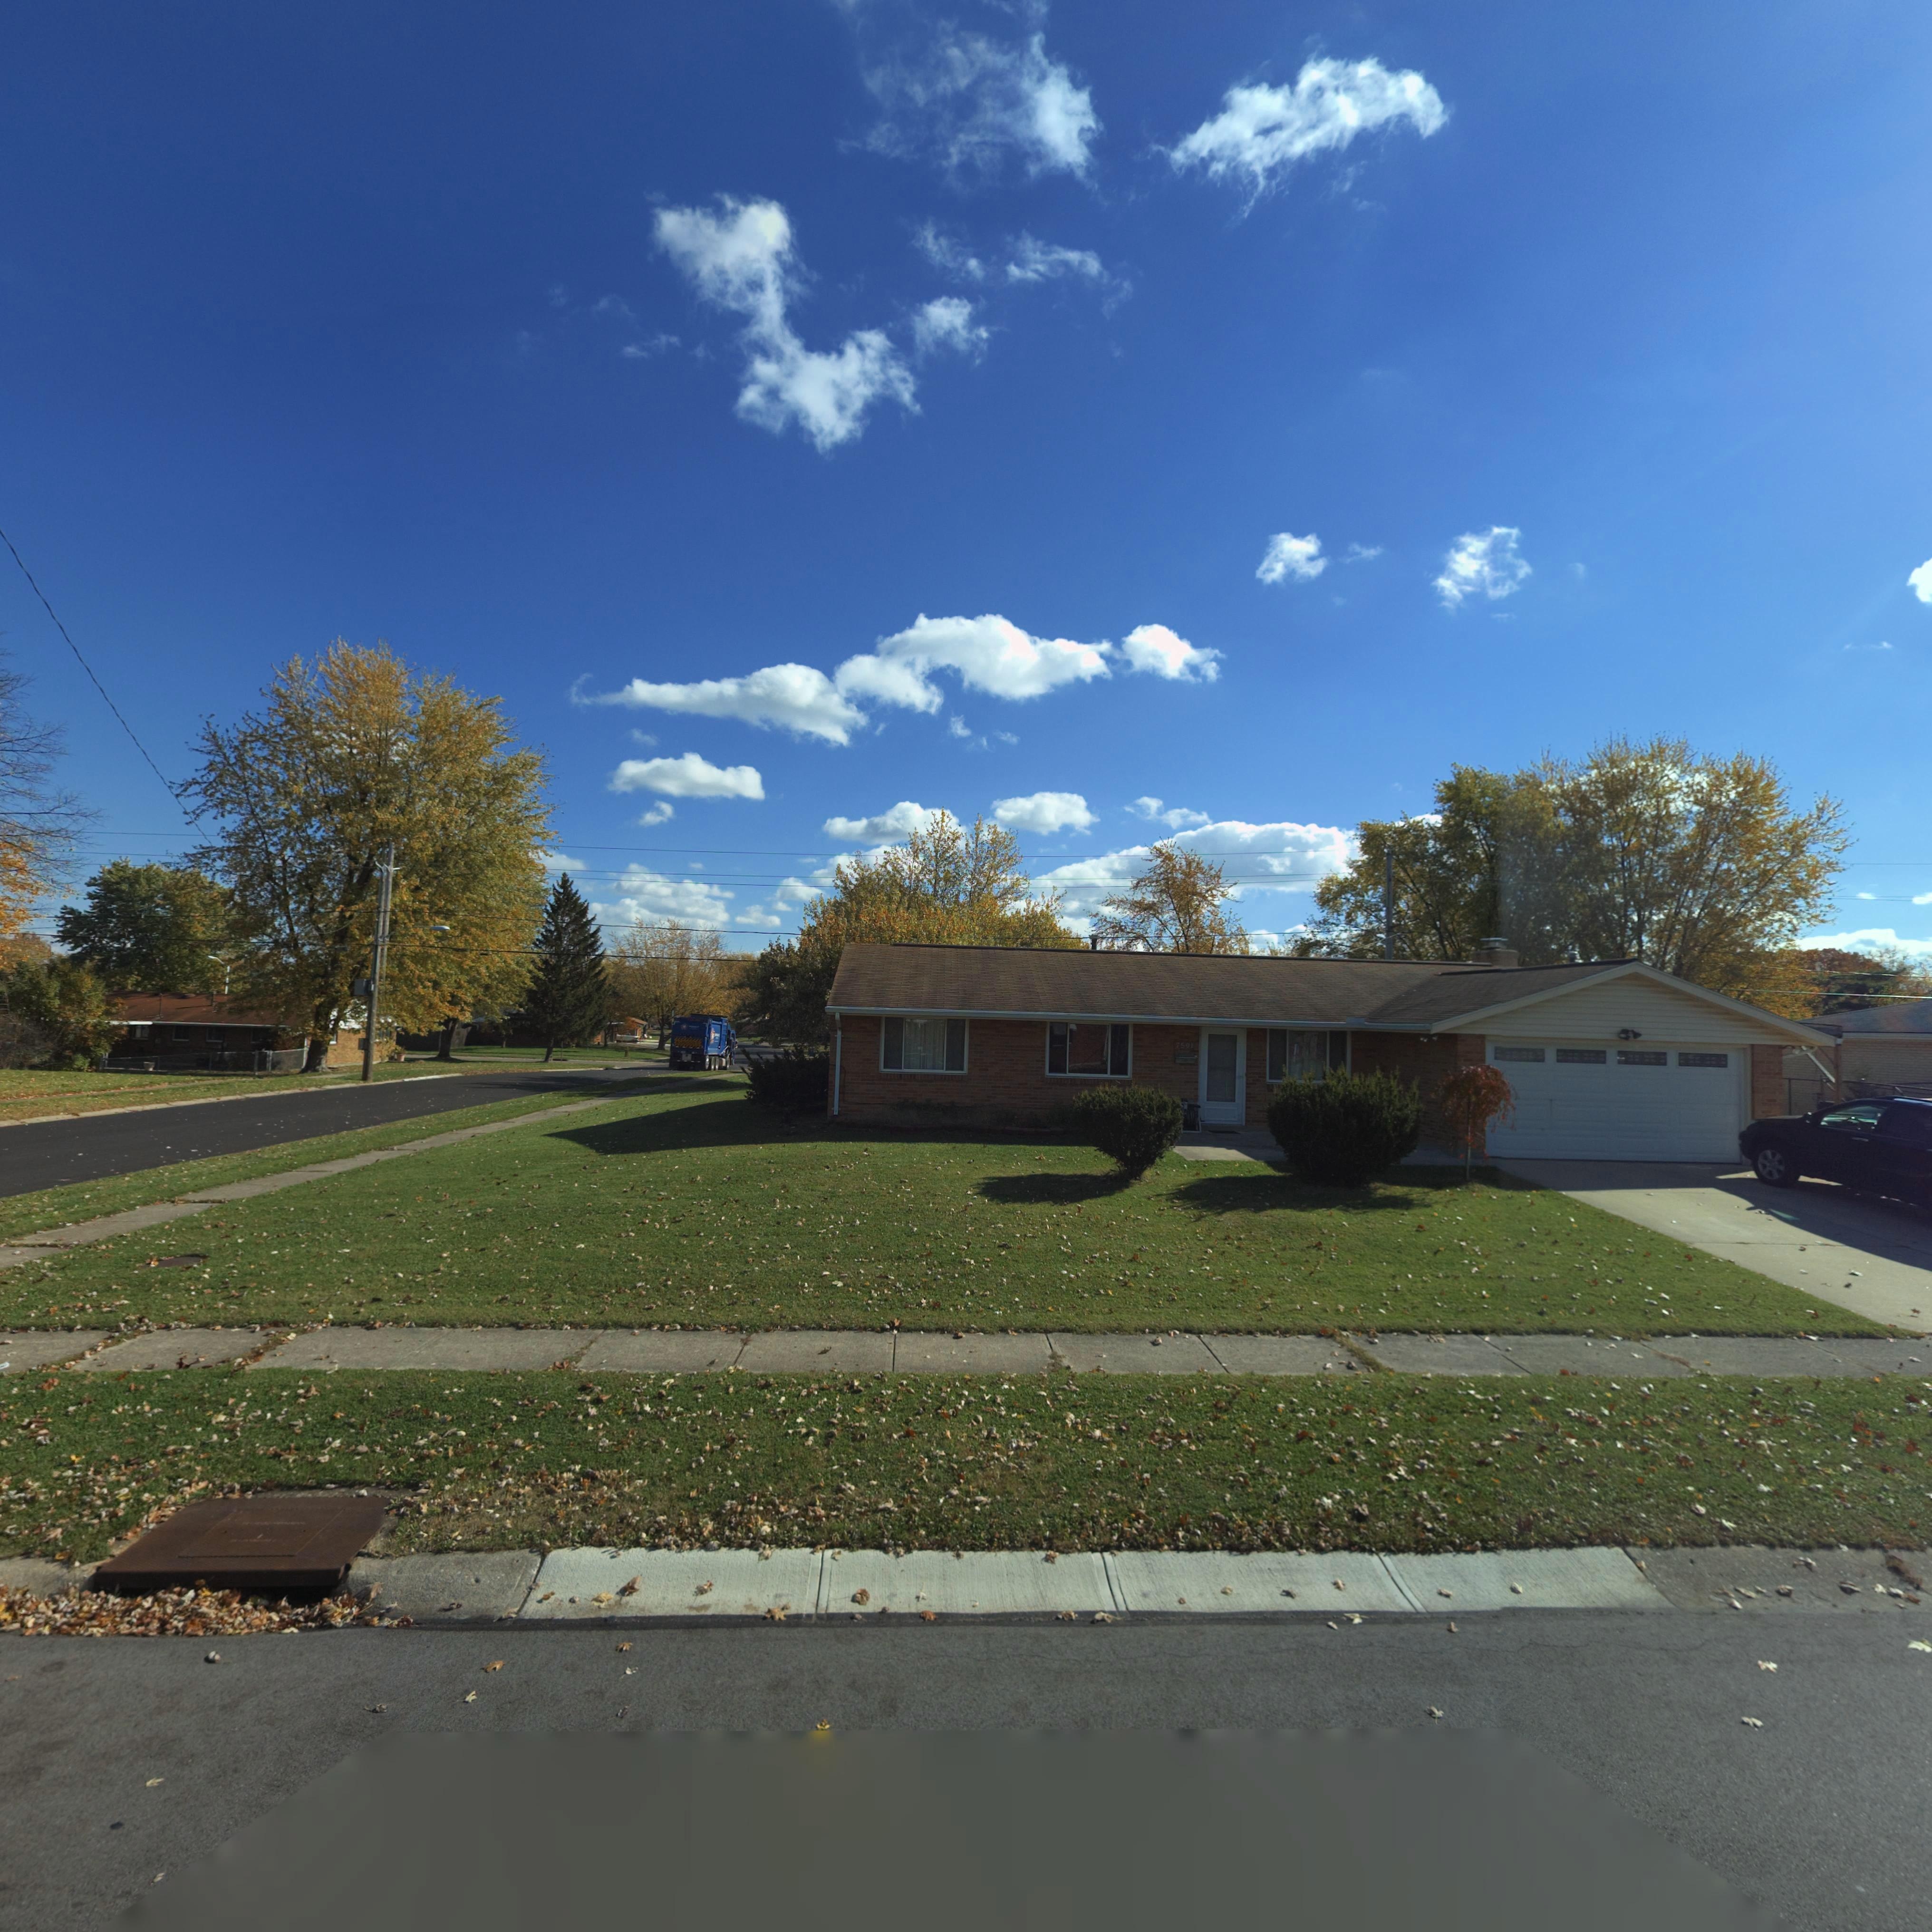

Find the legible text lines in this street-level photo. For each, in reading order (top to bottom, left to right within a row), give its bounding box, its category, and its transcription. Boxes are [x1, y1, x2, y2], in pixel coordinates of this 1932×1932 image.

[1174, 1042, 1194, 1050] StreetNumber: 7591